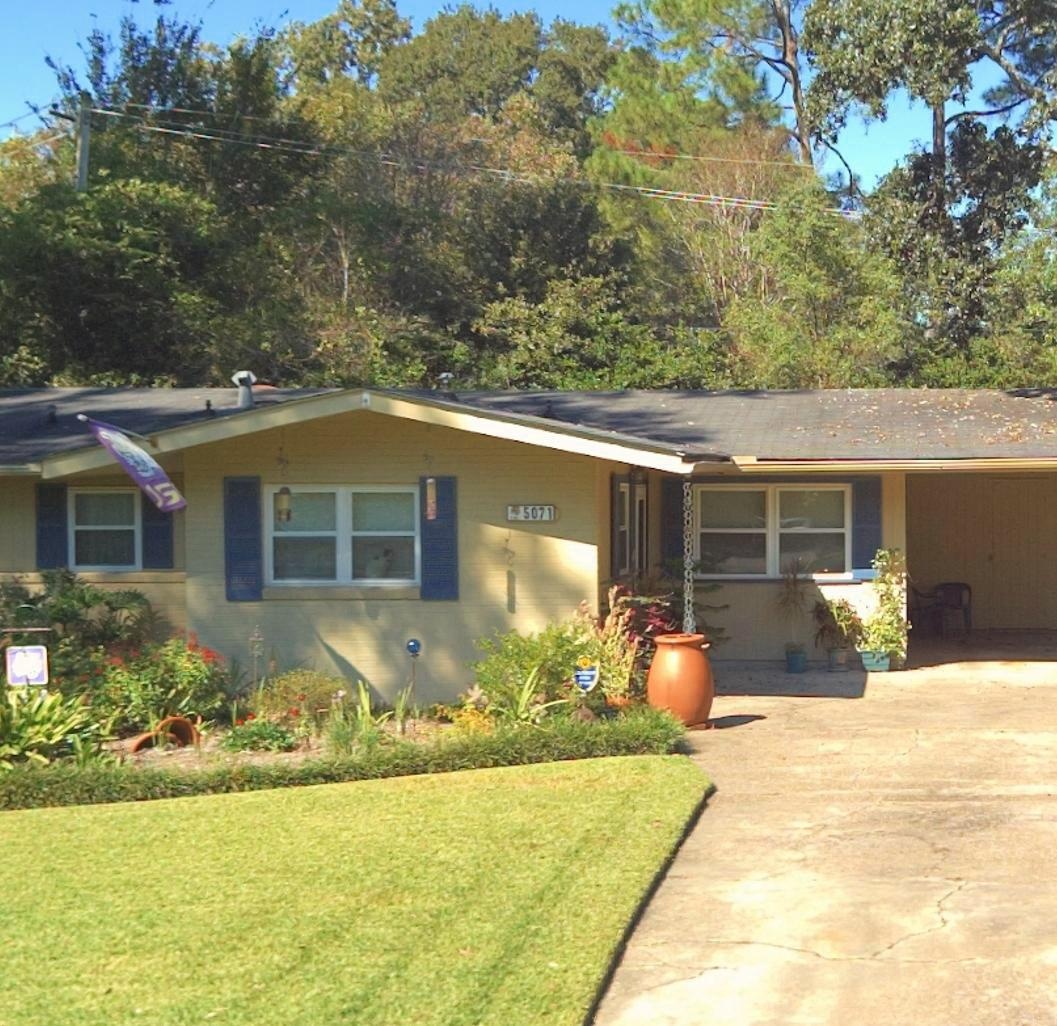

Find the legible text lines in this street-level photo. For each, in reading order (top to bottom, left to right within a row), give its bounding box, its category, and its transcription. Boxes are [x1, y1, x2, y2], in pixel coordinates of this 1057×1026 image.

[522, 505, 553, 521] StreetNumber: 5071